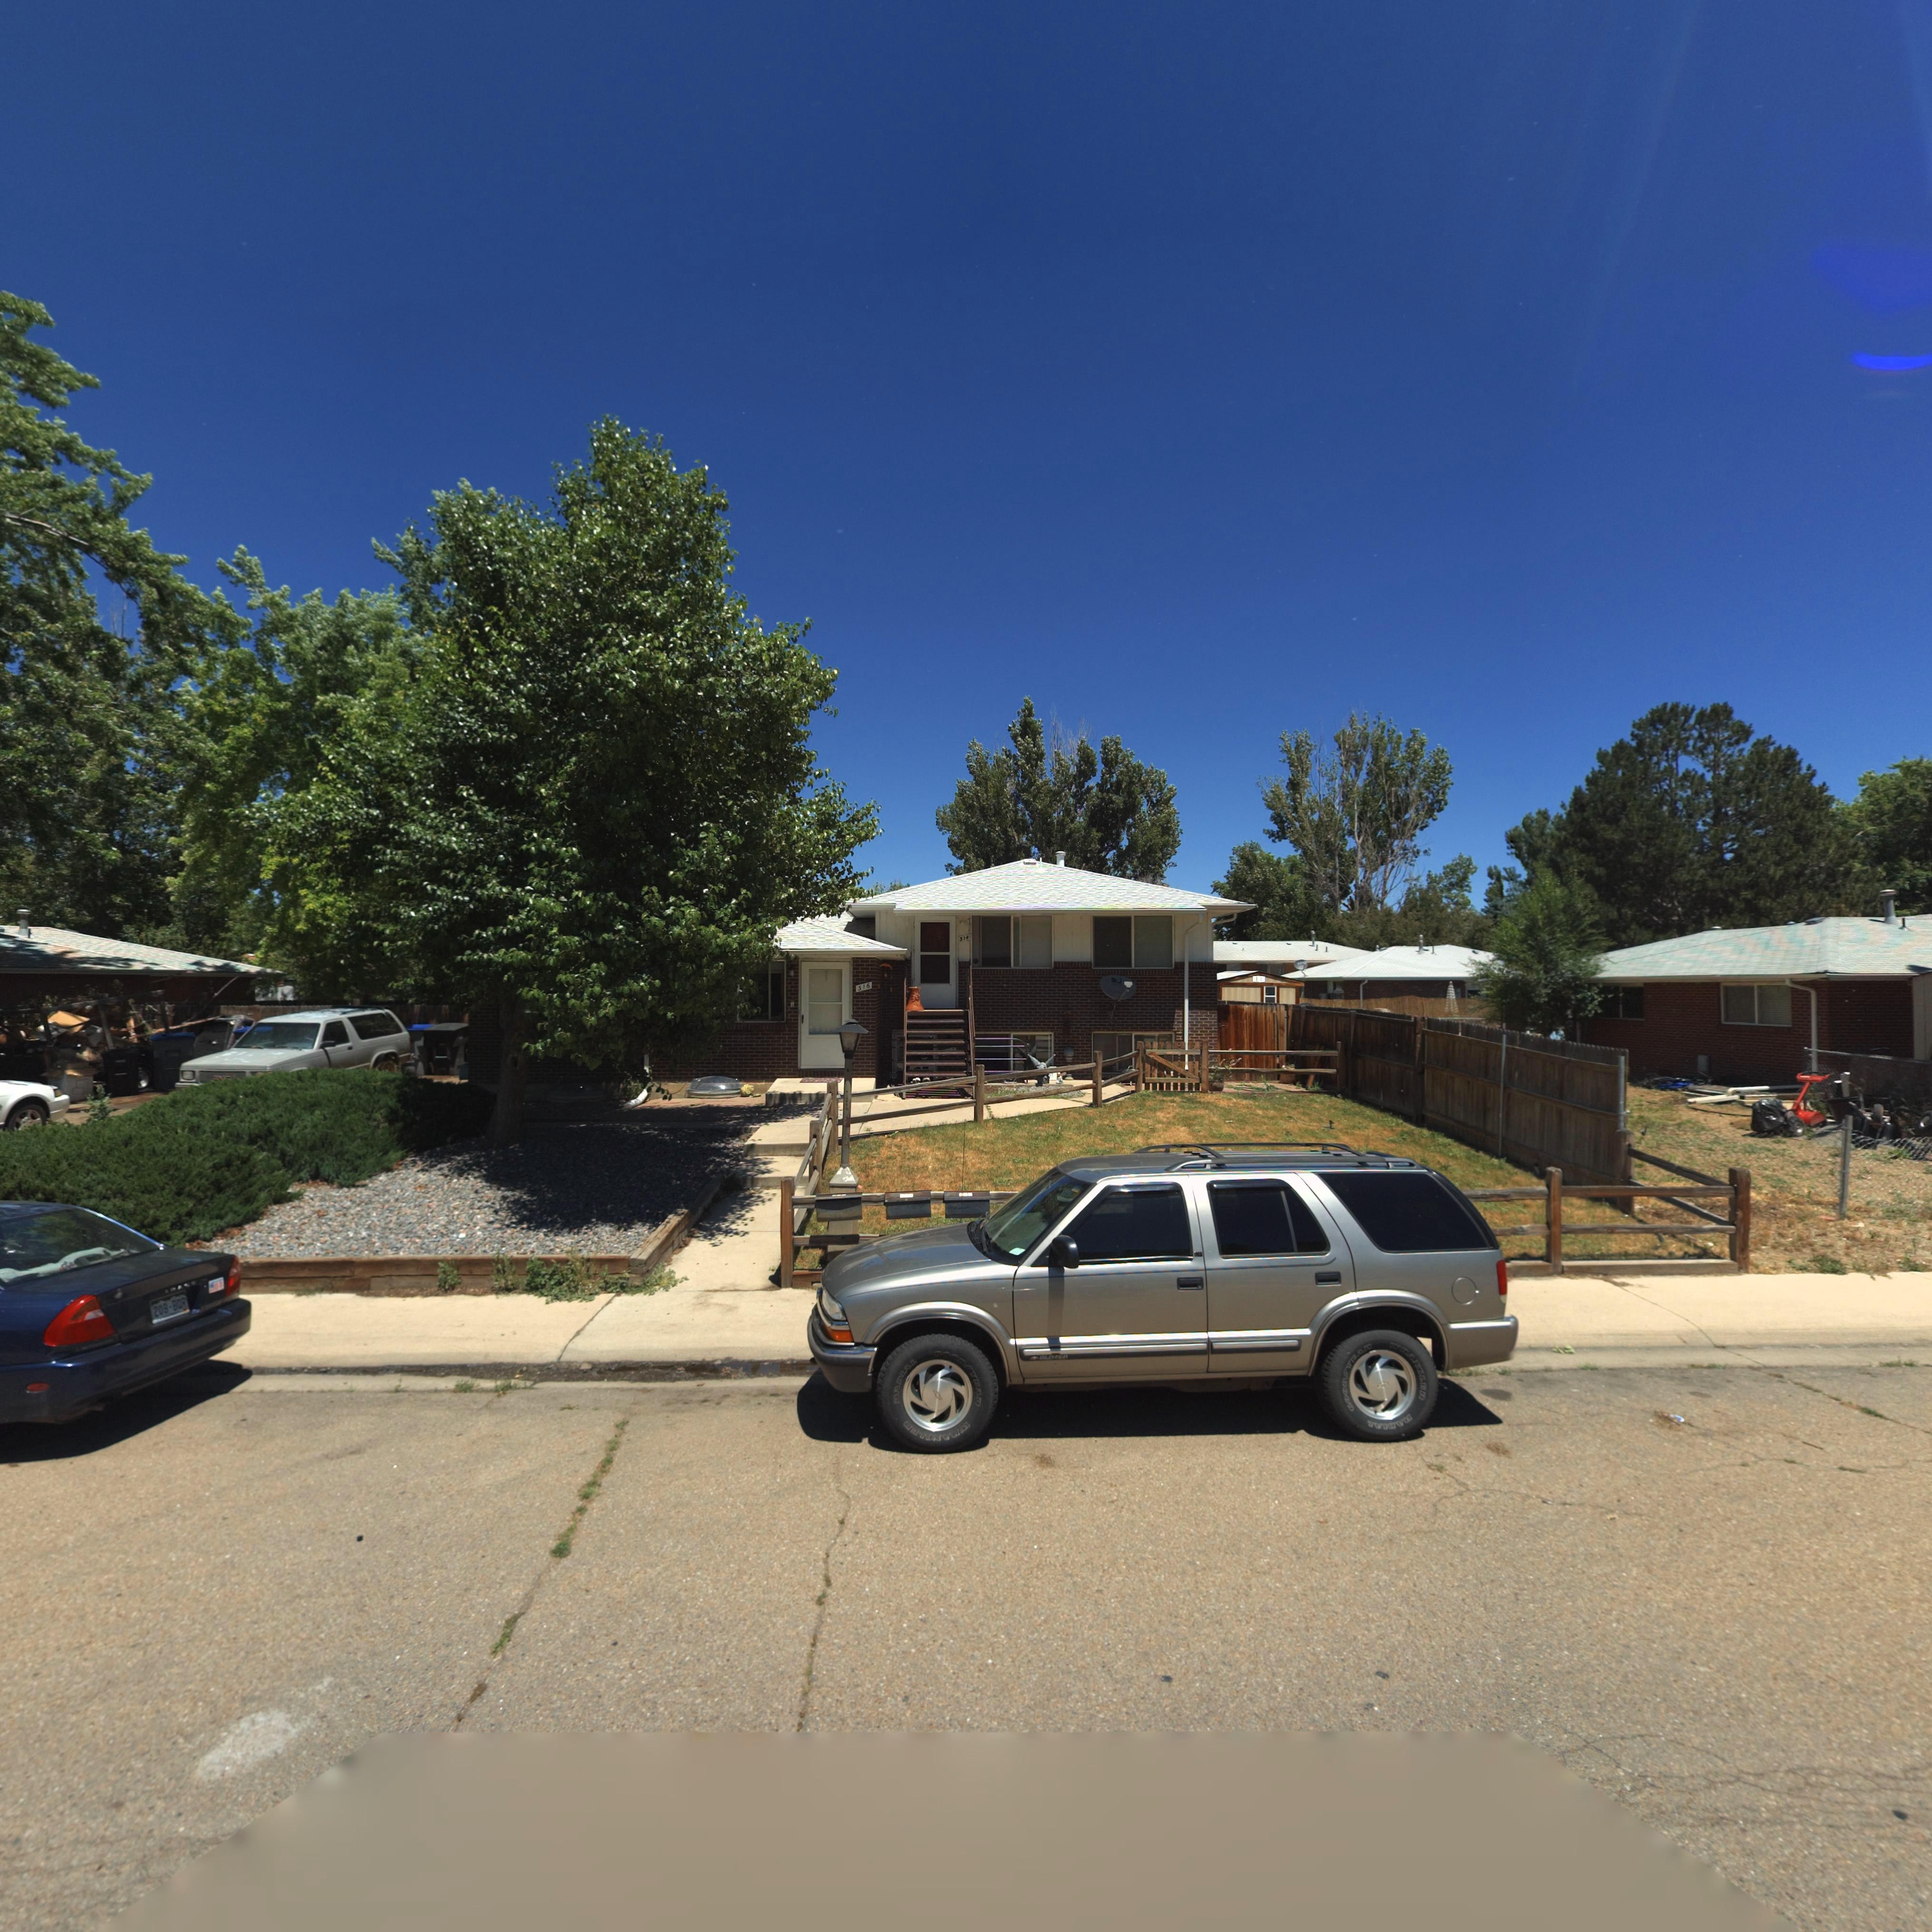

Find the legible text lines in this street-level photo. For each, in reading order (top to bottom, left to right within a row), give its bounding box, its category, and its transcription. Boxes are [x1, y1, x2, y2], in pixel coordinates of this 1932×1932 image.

[958, 935, 968, 942] StreetNumber: 314
[857, 982, 870, 991] StreetNumber: 316